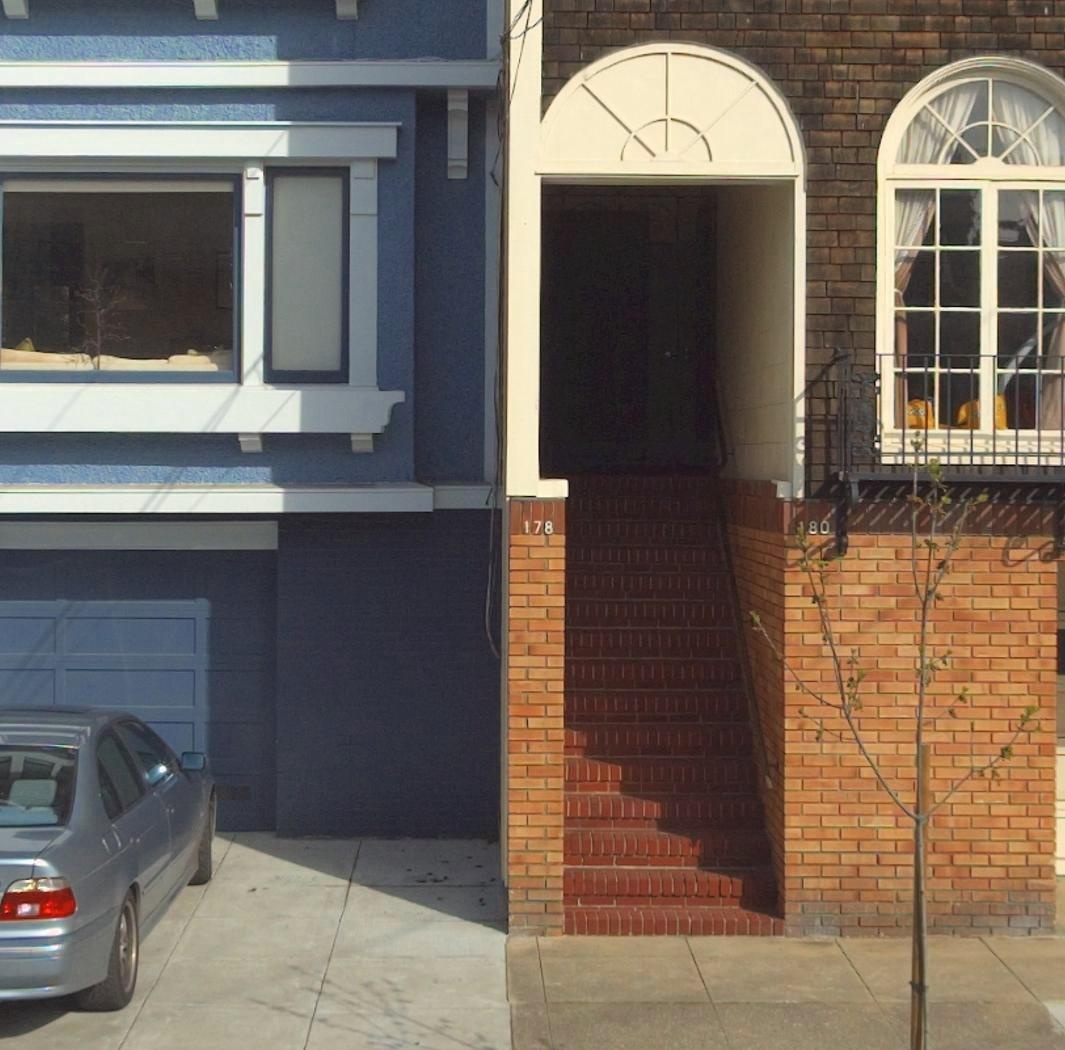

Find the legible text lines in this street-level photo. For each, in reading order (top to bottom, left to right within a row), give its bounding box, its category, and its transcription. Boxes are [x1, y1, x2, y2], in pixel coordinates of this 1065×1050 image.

[522, 519, 555, 537] StreetNumber: 178
[796, 518, 831, 536] StreetNumber: *80